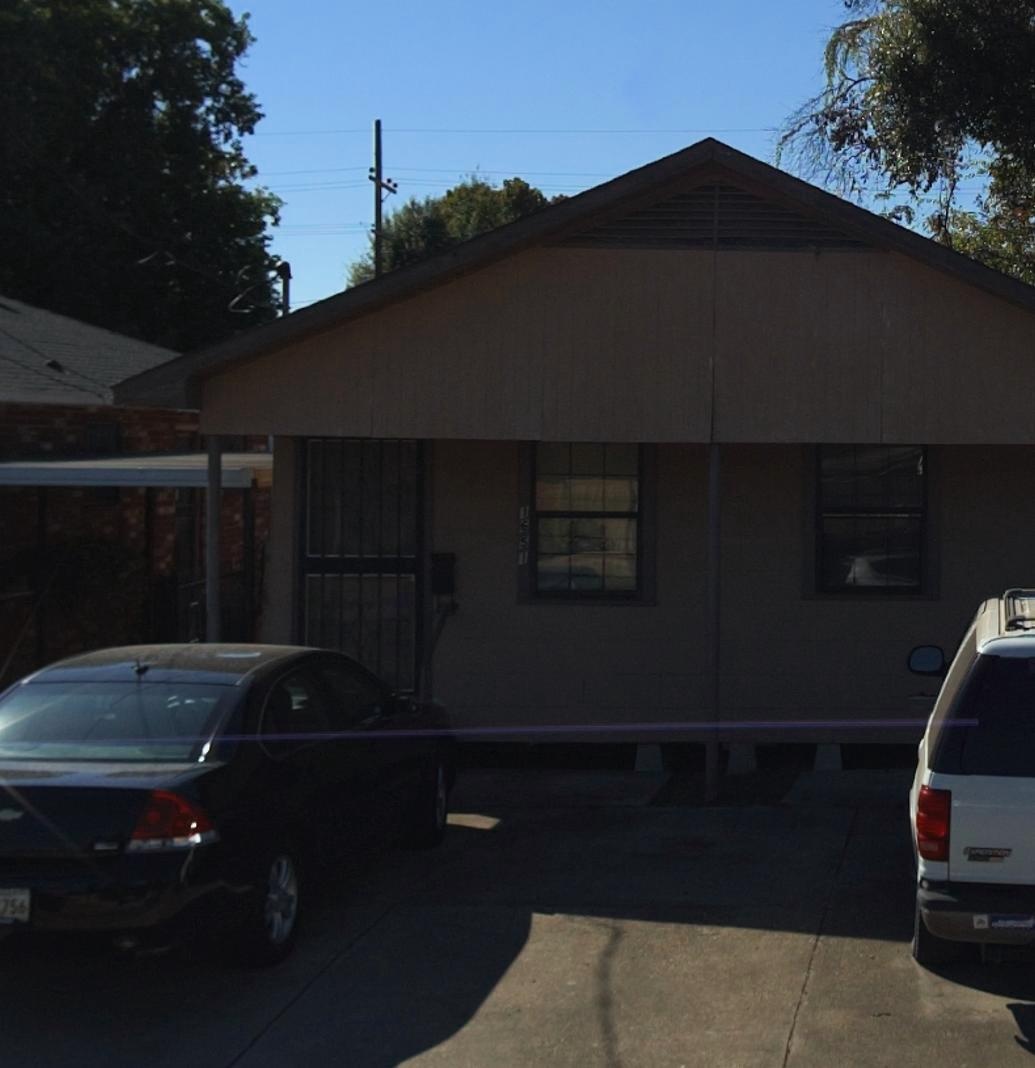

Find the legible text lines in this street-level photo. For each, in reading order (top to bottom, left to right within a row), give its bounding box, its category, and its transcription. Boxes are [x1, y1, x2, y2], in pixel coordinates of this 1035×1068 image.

[519, 505, 530, 565] StreetNumber: 1651
[963, 846, 1013, 857] None: EXPEDITION
[0, 896, 29, 918] None: 756